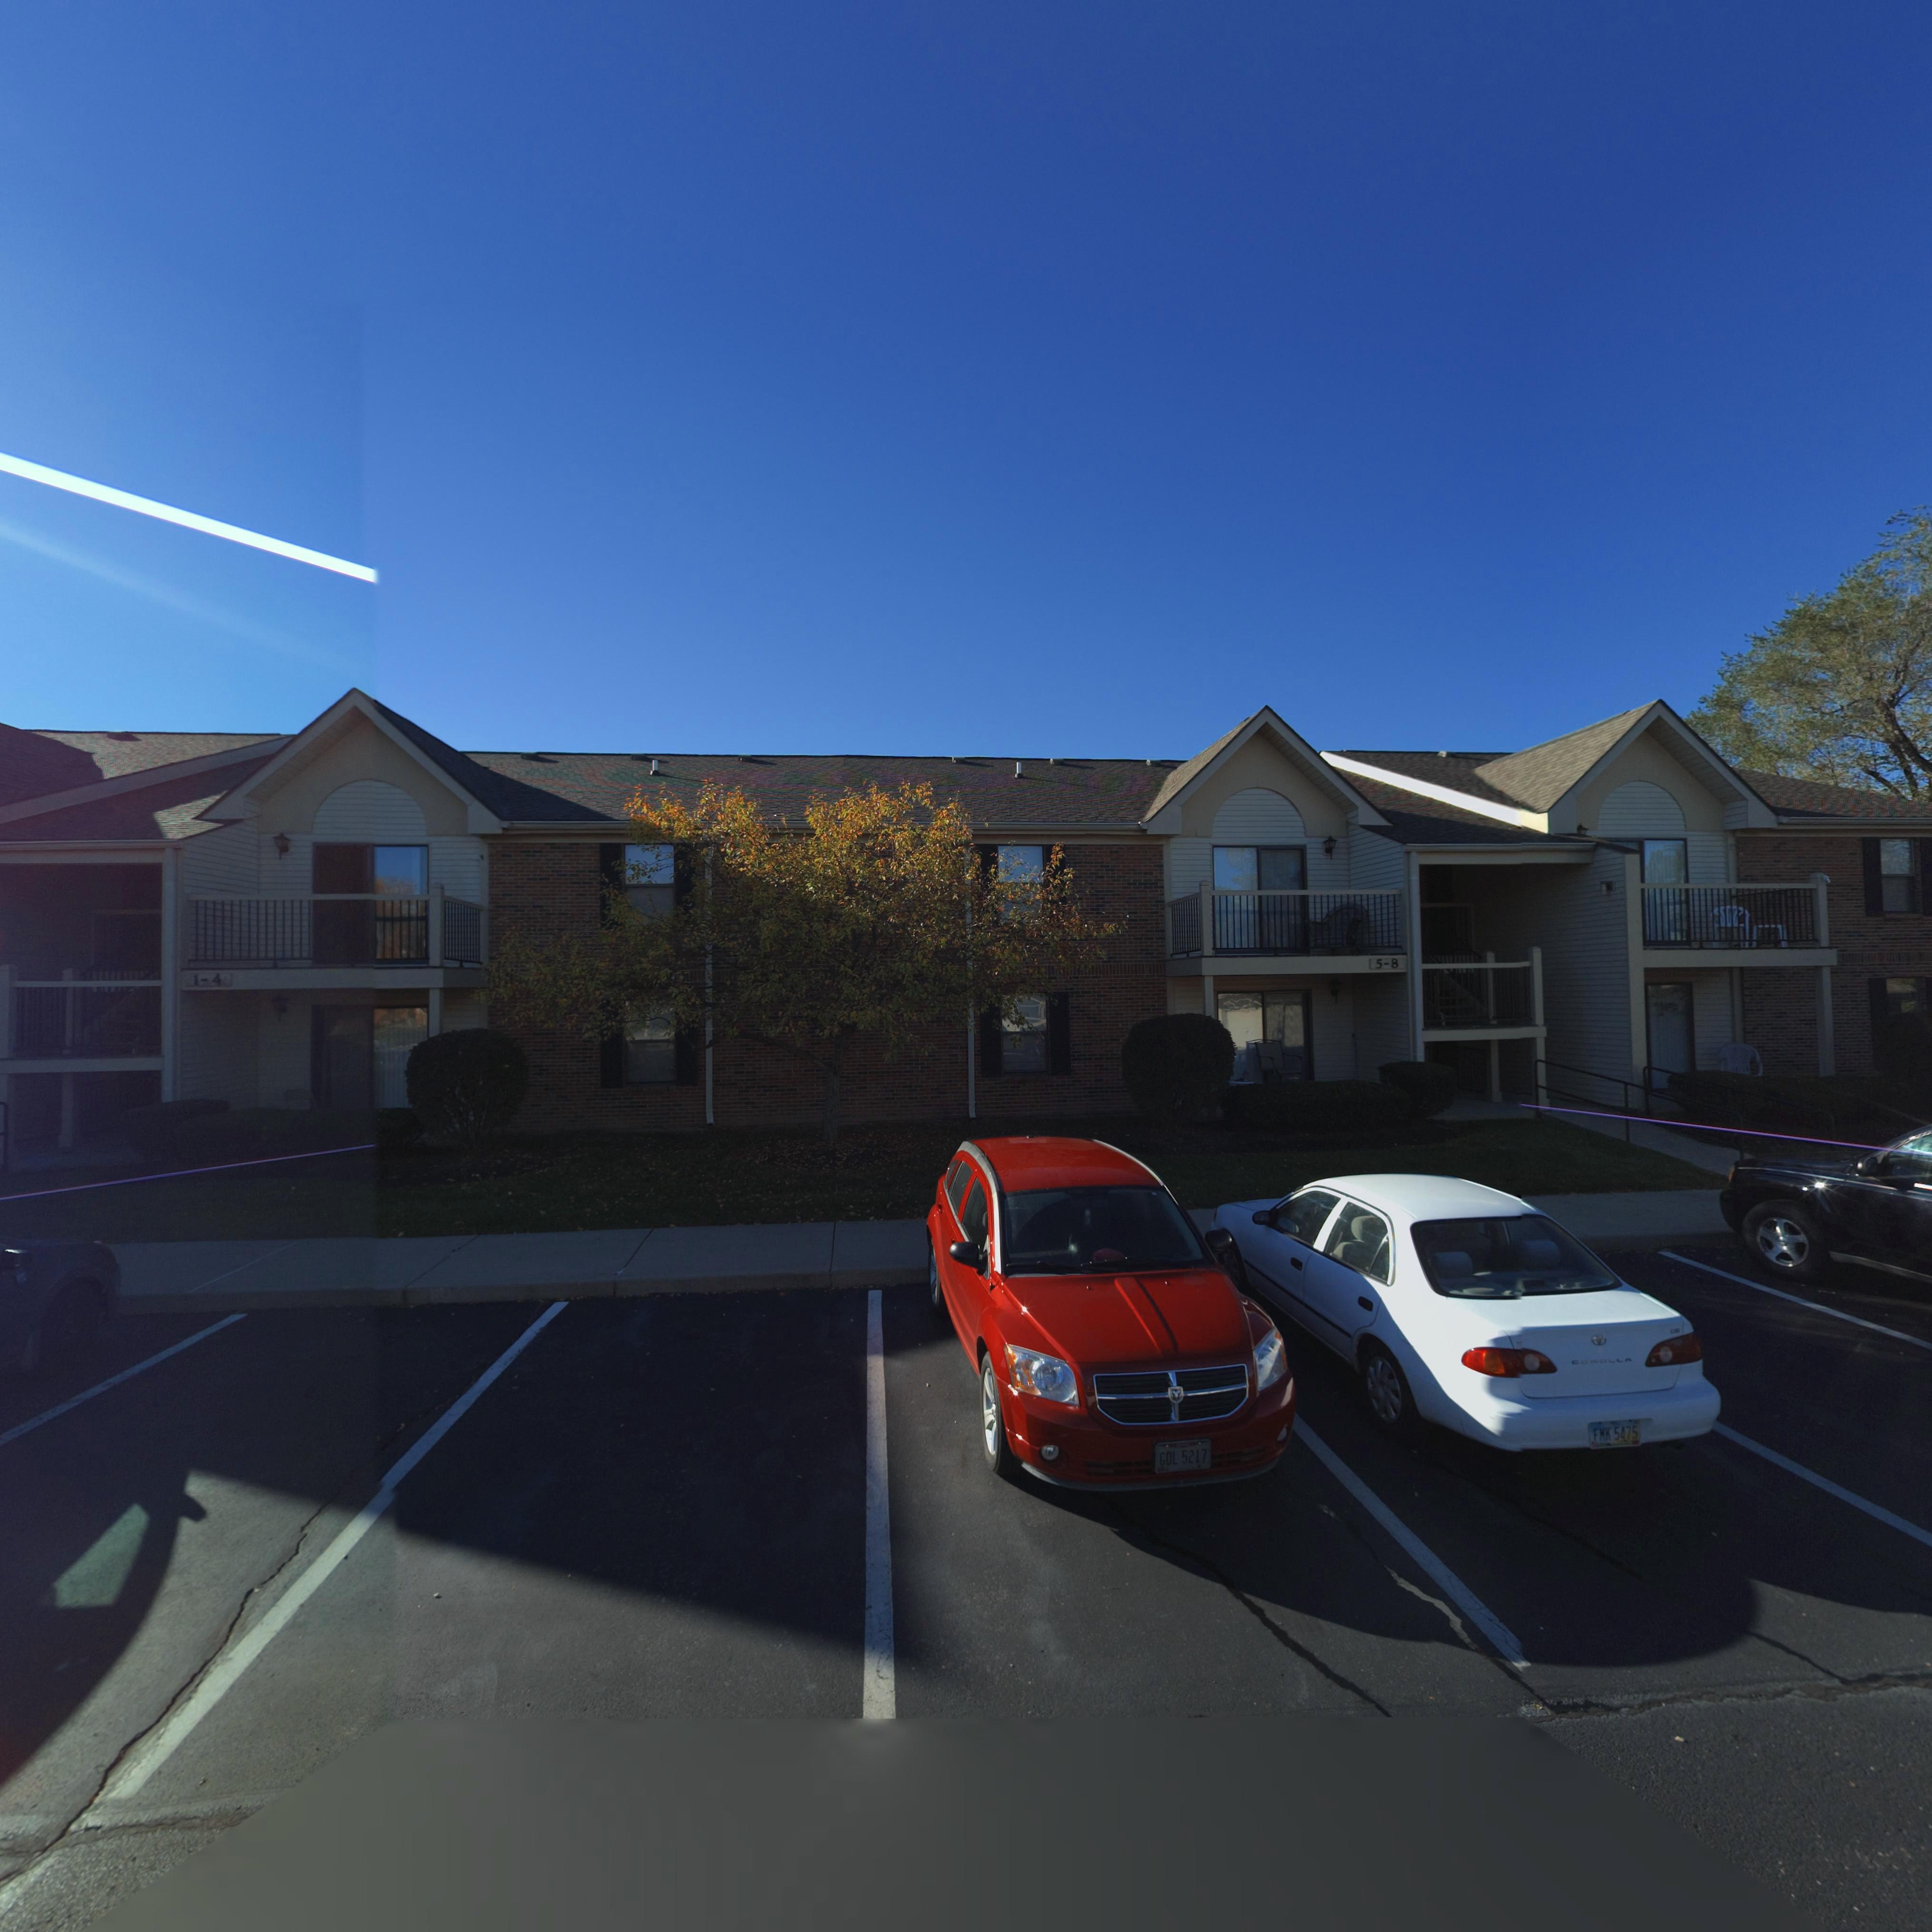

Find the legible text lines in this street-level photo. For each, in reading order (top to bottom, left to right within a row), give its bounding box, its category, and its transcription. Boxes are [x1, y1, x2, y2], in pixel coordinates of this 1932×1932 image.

[1375, 958, 1399, 969] StreetNumber: 5-8
[193, 972, 222, 986] StreetNumber: 1-4